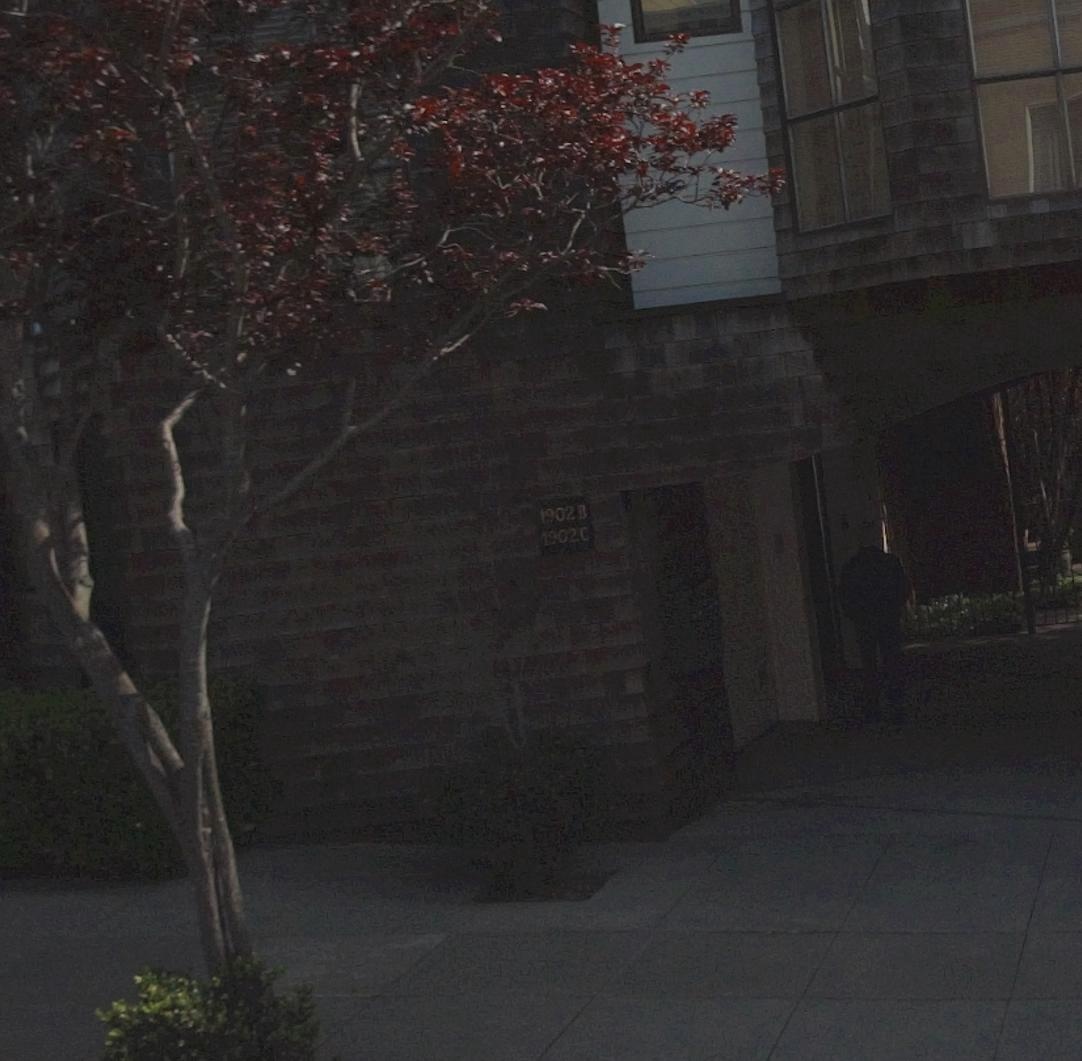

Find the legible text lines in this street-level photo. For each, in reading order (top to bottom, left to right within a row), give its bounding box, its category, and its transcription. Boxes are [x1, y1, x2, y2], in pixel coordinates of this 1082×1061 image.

[537, 501, 590, 528] StreetNumber: 1902 B
[539, 524, 592, 549] StreetNumber: 1902 C